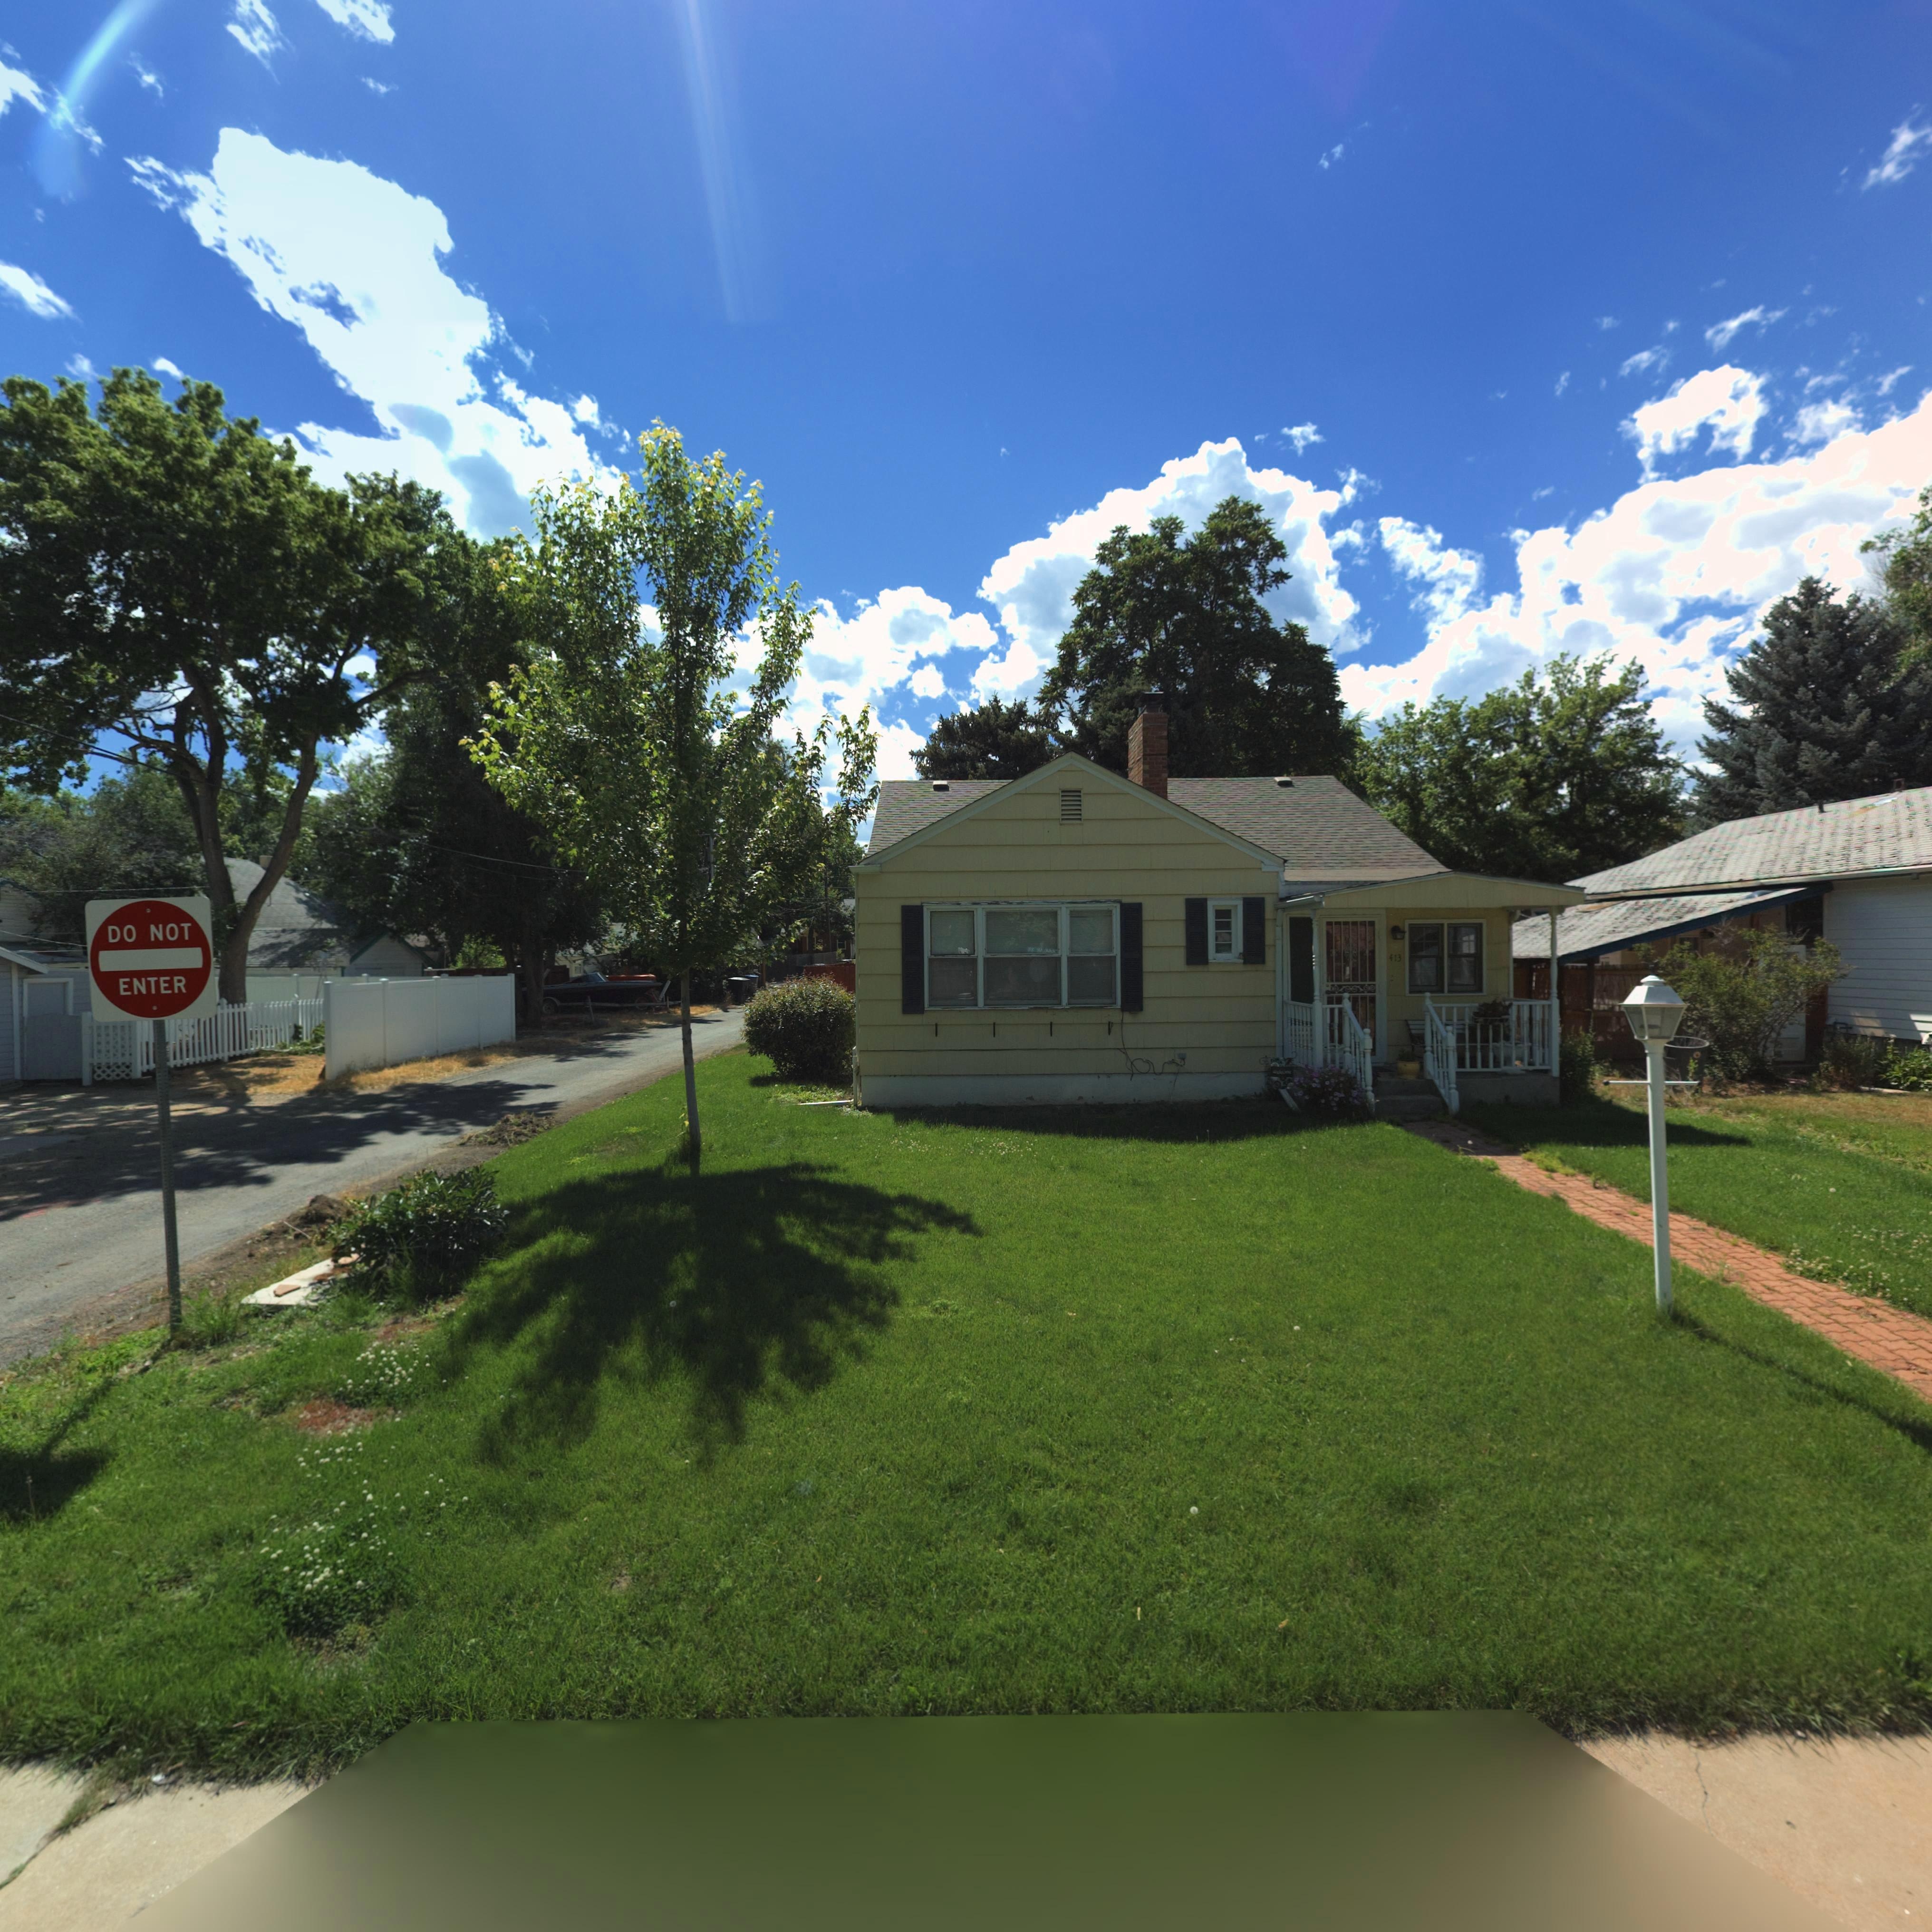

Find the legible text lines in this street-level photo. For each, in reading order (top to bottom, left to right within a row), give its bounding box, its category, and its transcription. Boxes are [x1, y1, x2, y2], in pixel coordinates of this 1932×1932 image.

[1388, 953, 1402, 963] StreetNumber: 413